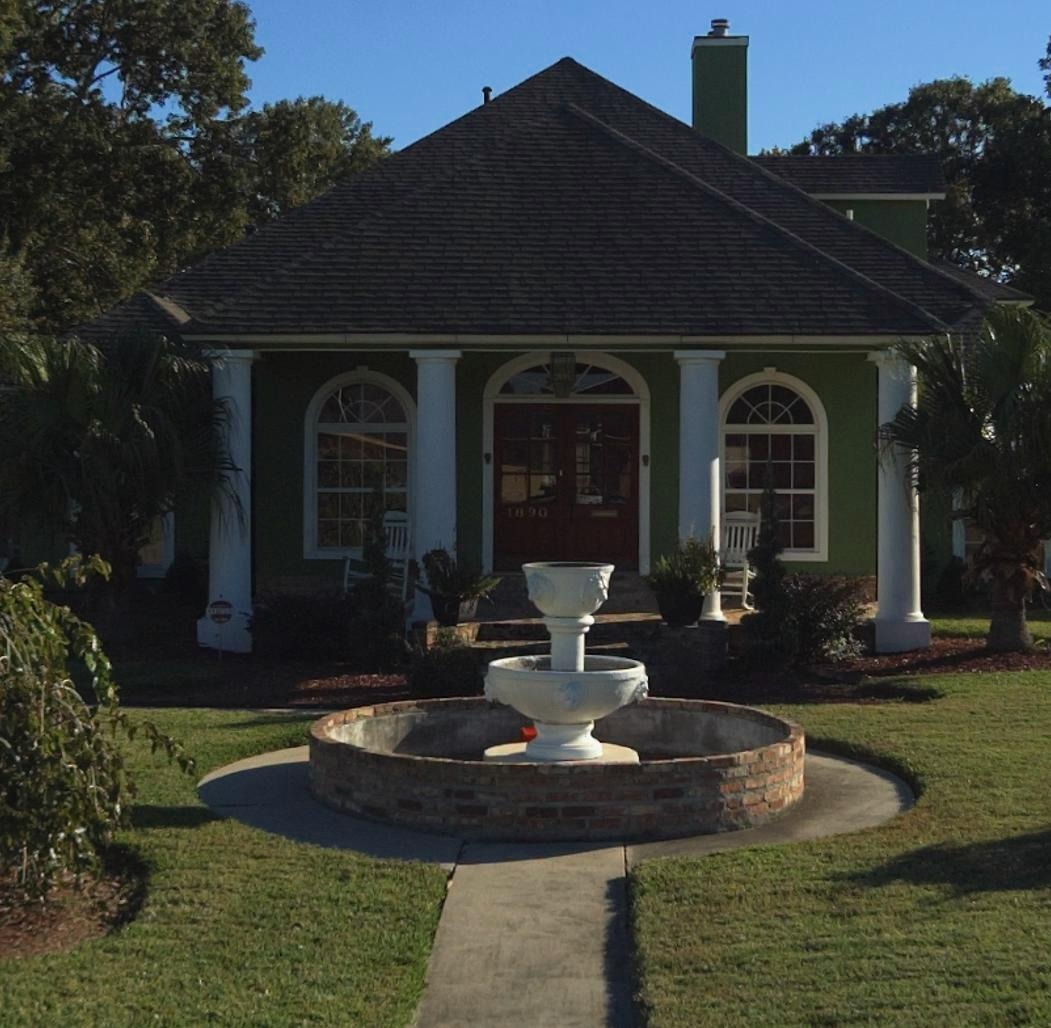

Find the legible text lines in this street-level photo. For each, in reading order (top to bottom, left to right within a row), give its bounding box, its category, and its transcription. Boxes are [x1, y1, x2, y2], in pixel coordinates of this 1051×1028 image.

[505, 506, 549, 519] StreetNumber: 1890